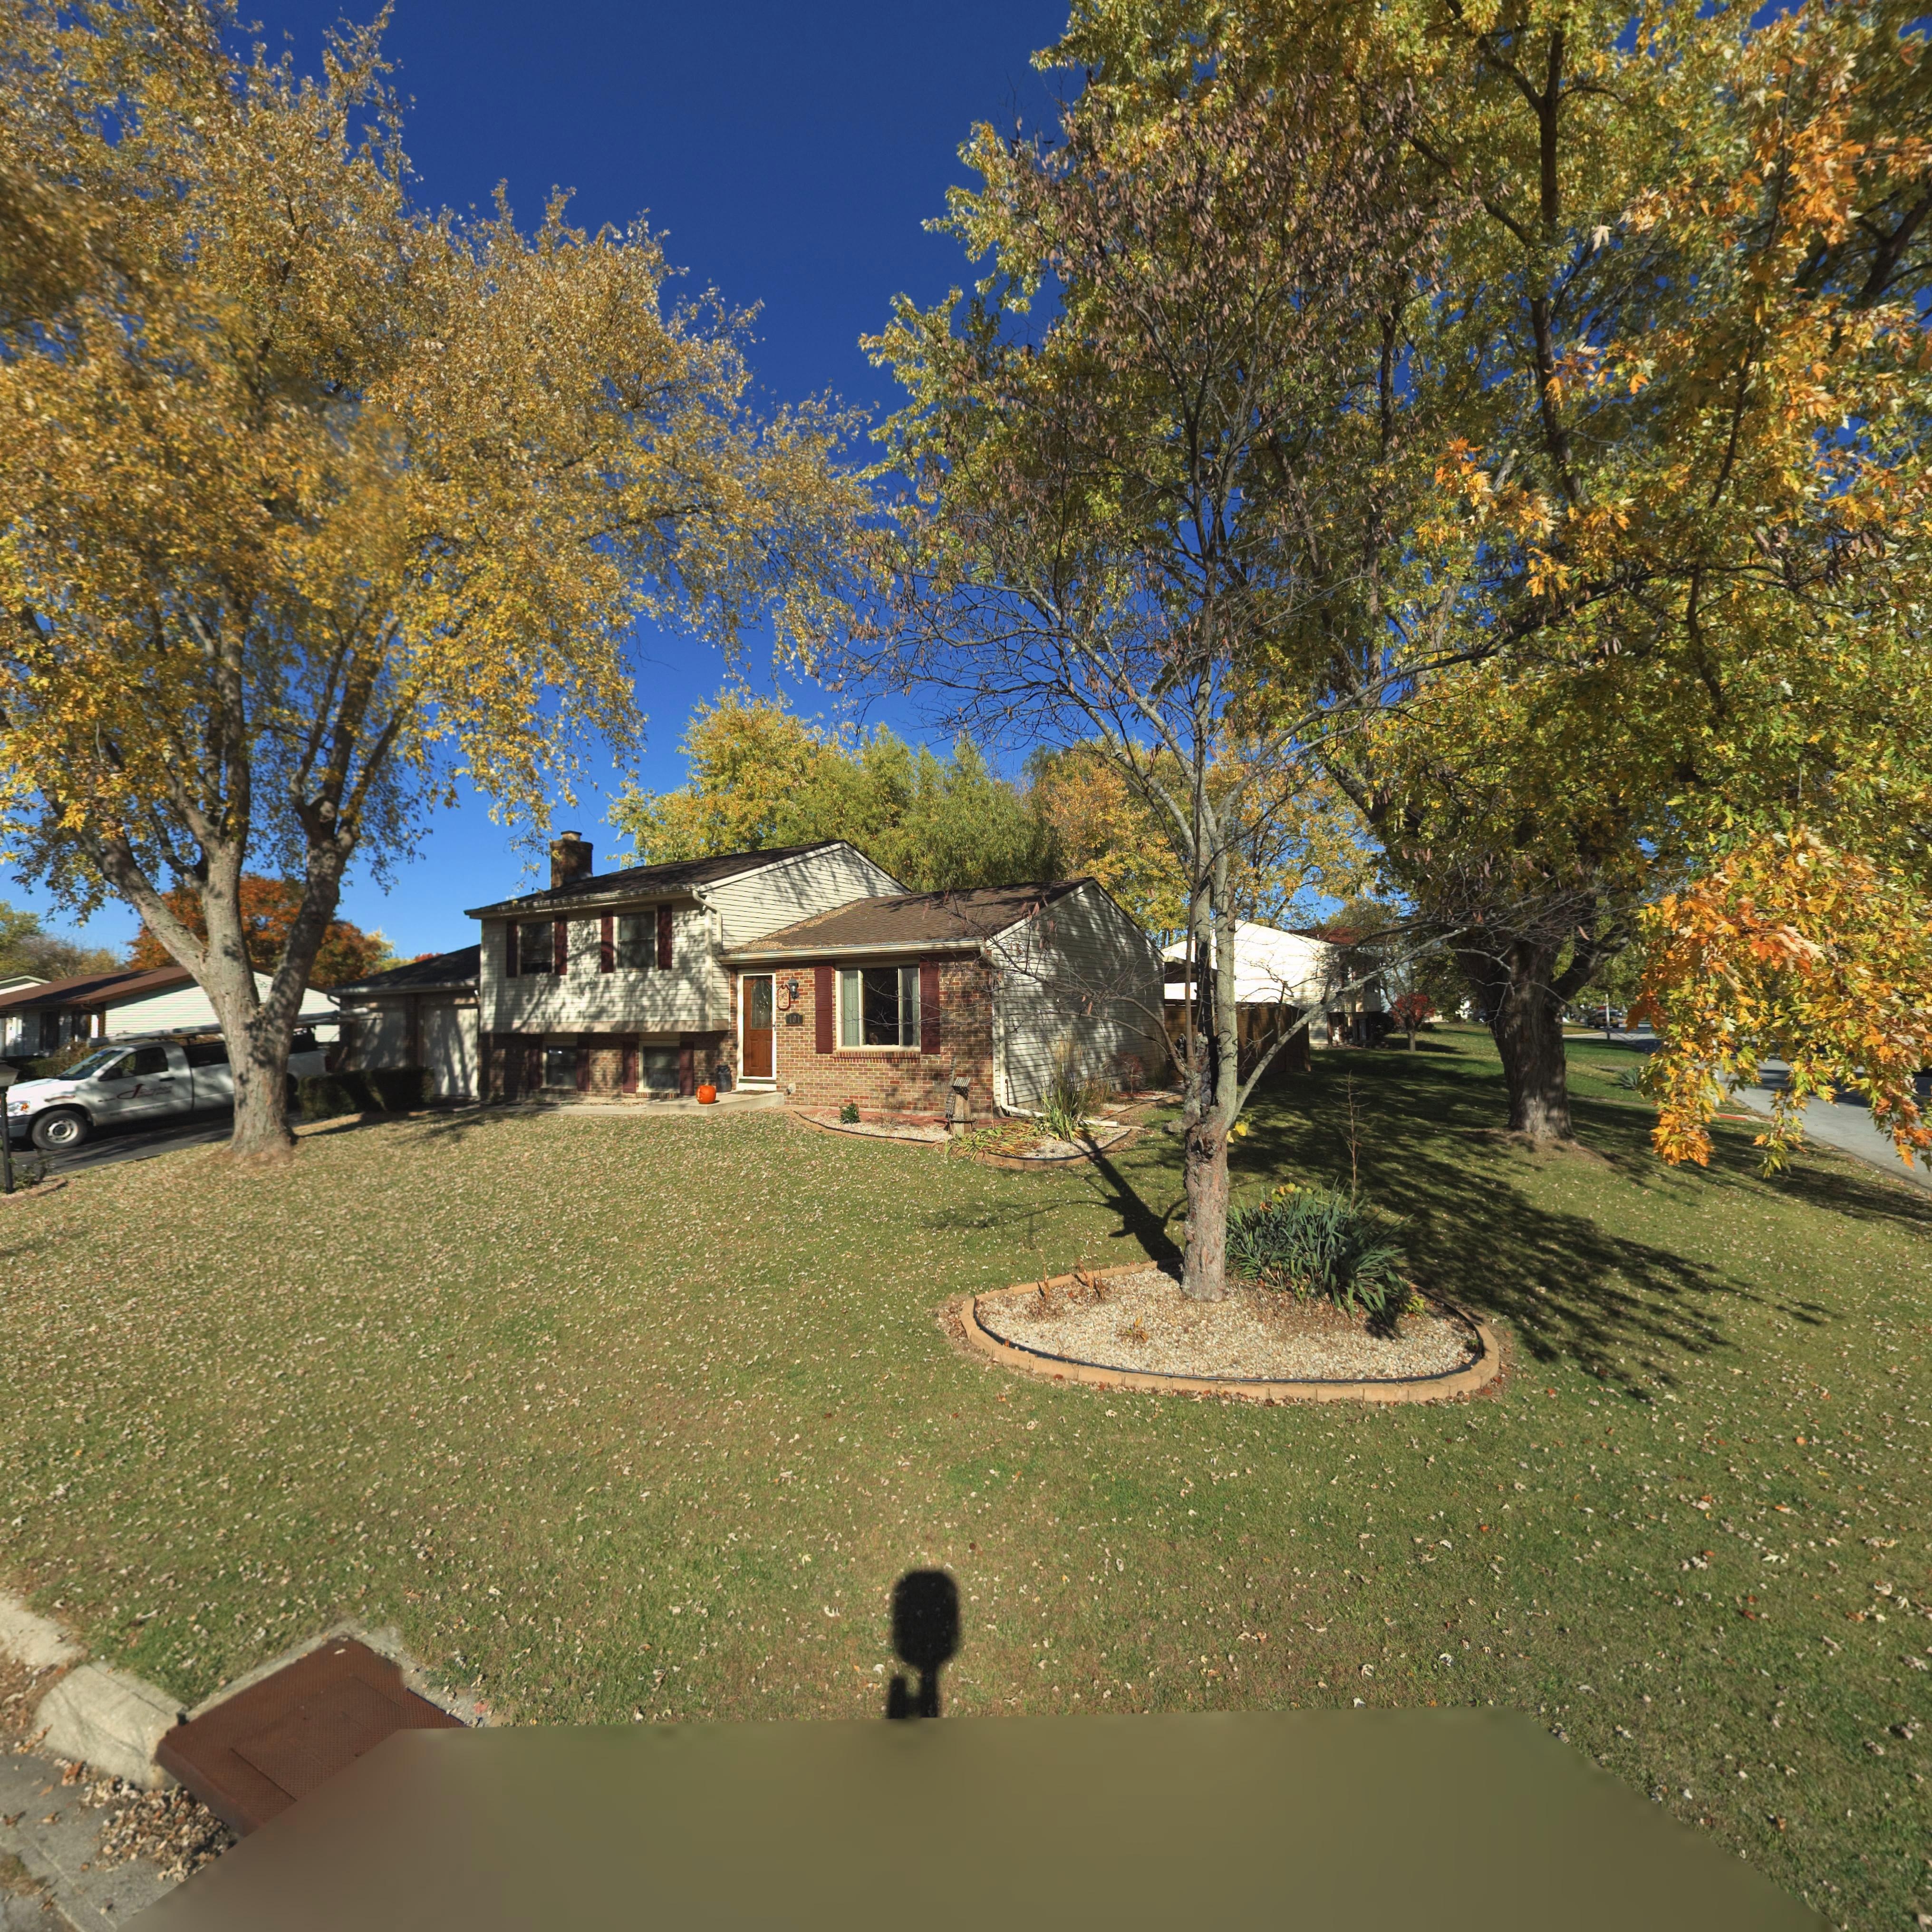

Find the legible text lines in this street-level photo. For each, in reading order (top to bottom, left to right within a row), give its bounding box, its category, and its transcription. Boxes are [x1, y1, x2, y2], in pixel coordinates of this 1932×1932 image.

[788, 1014, 801, 1024] StreetNumber: 101